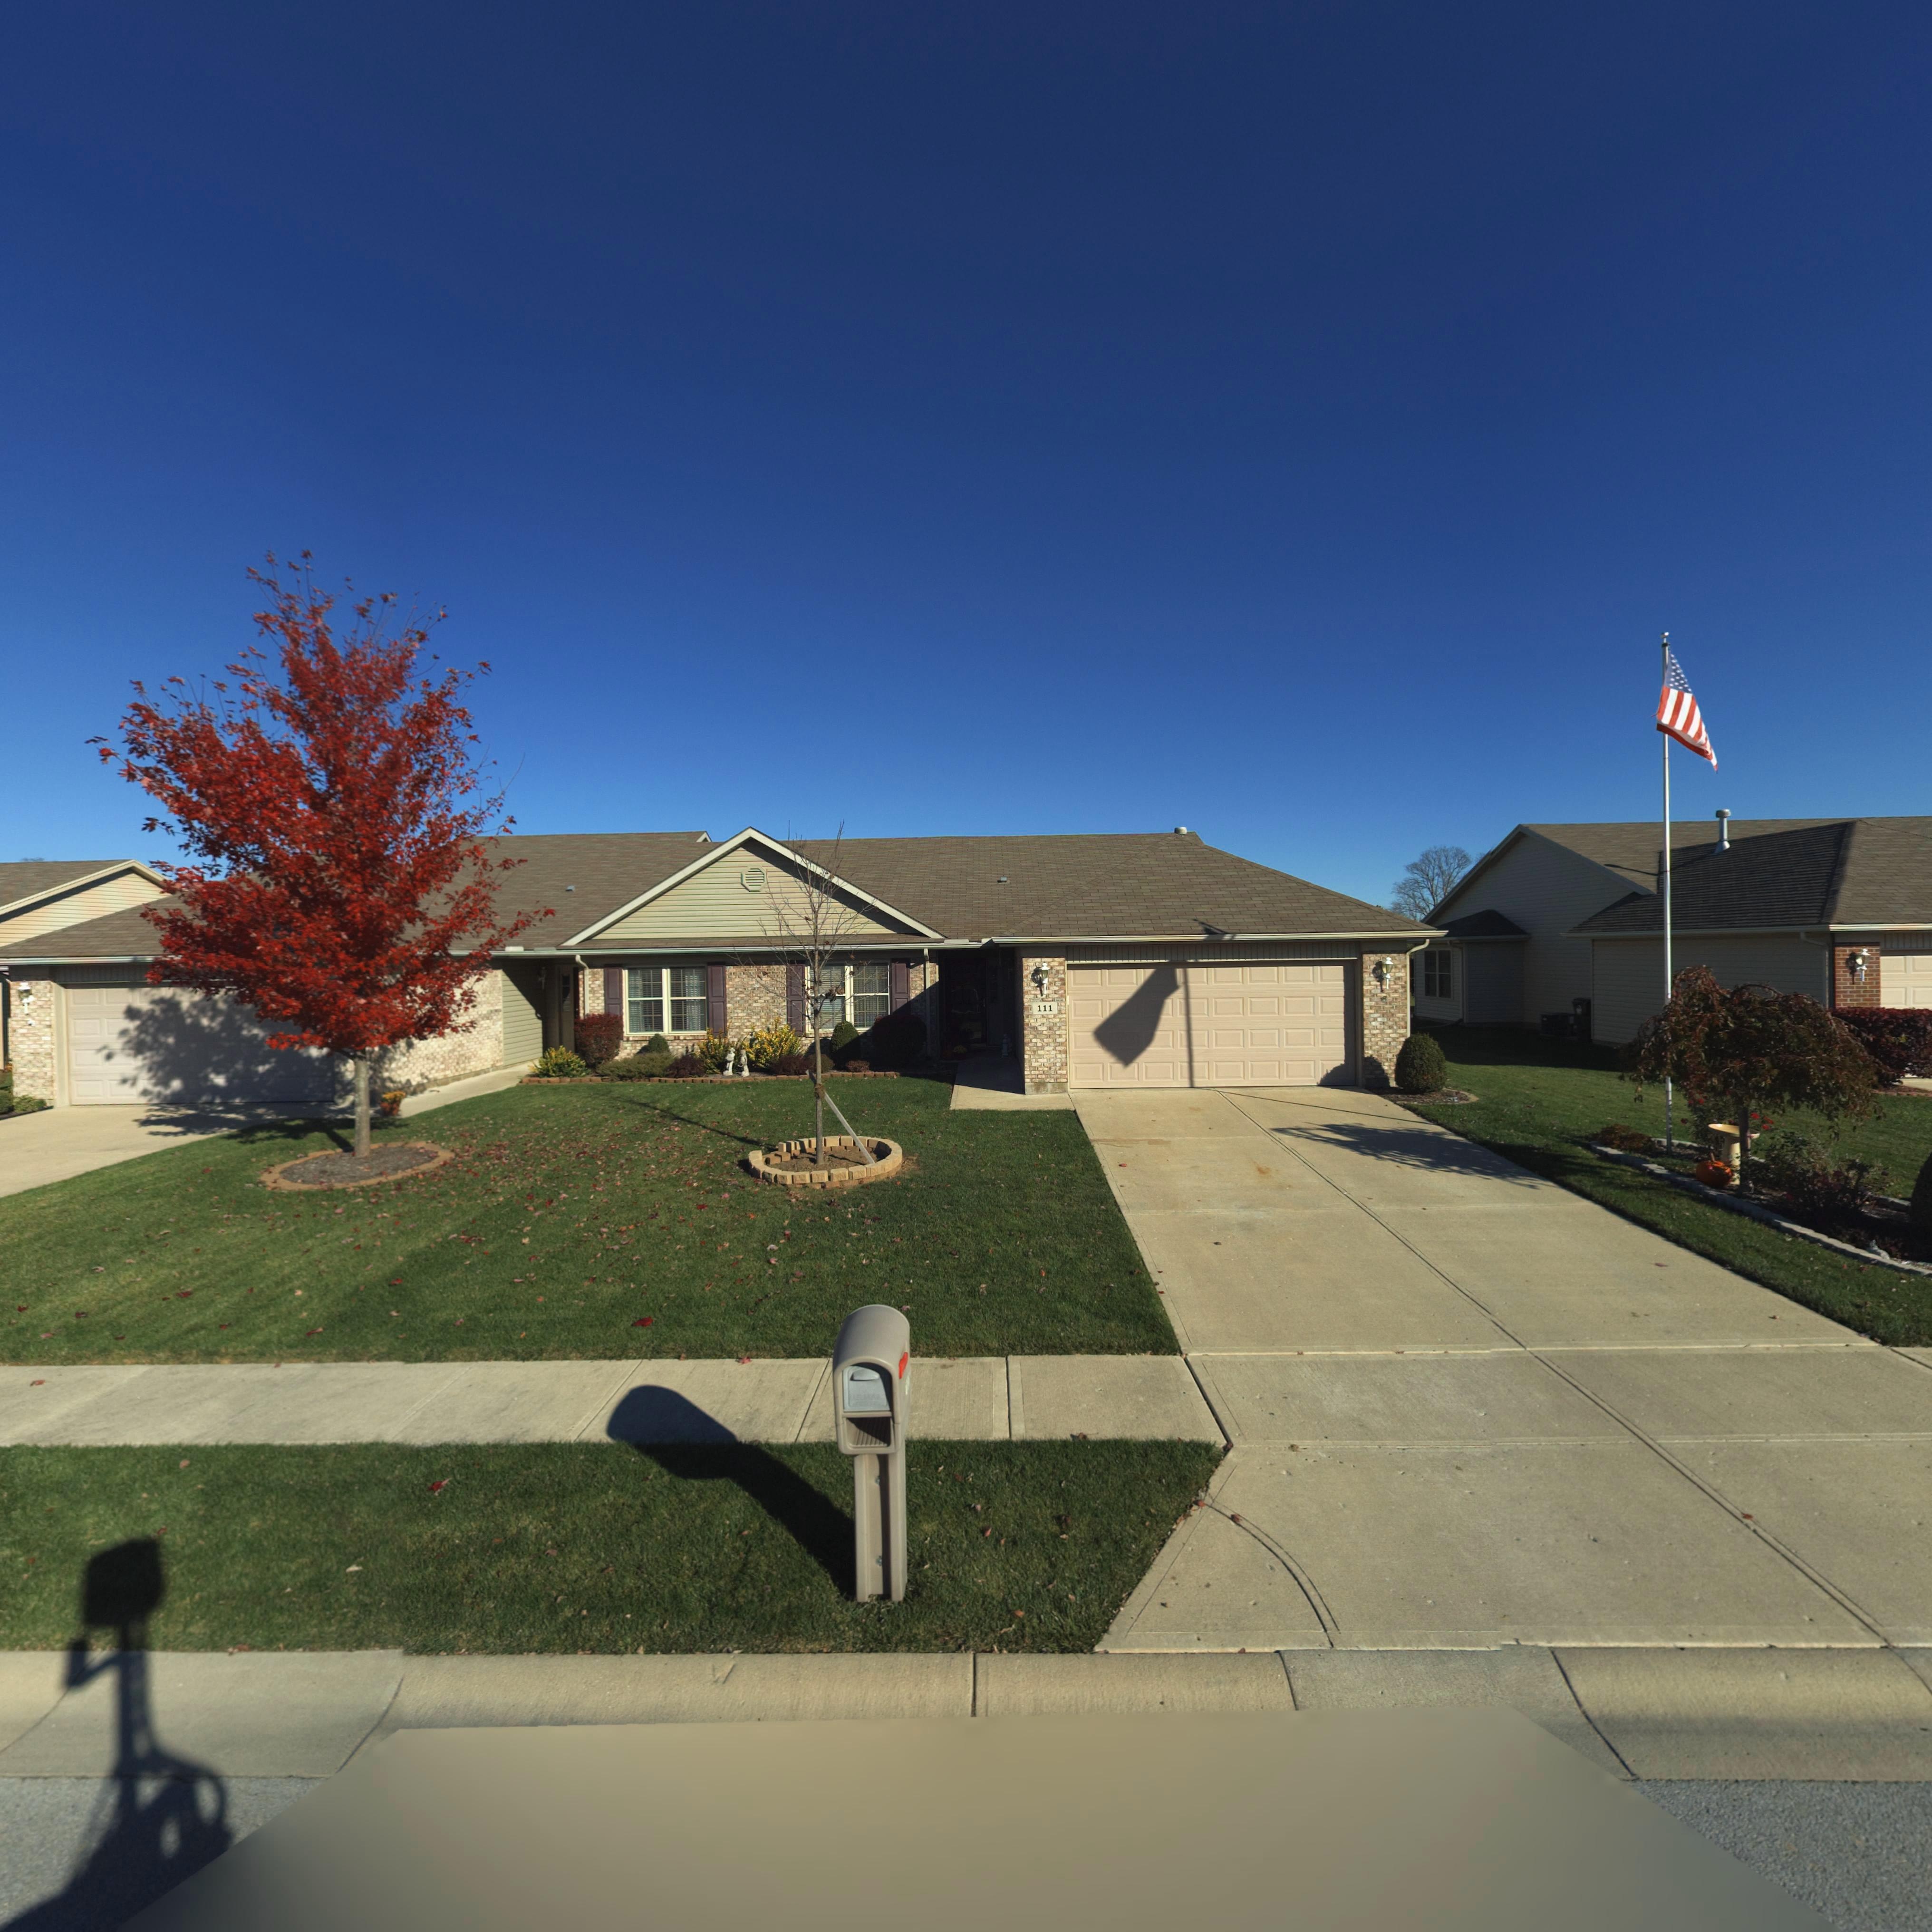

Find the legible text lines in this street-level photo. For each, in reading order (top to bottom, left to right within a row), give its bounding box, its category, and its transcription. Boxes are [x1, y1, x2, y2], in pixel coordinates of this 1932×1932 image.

[1036, 1004, 1053, 1013] StreetNumber: 111